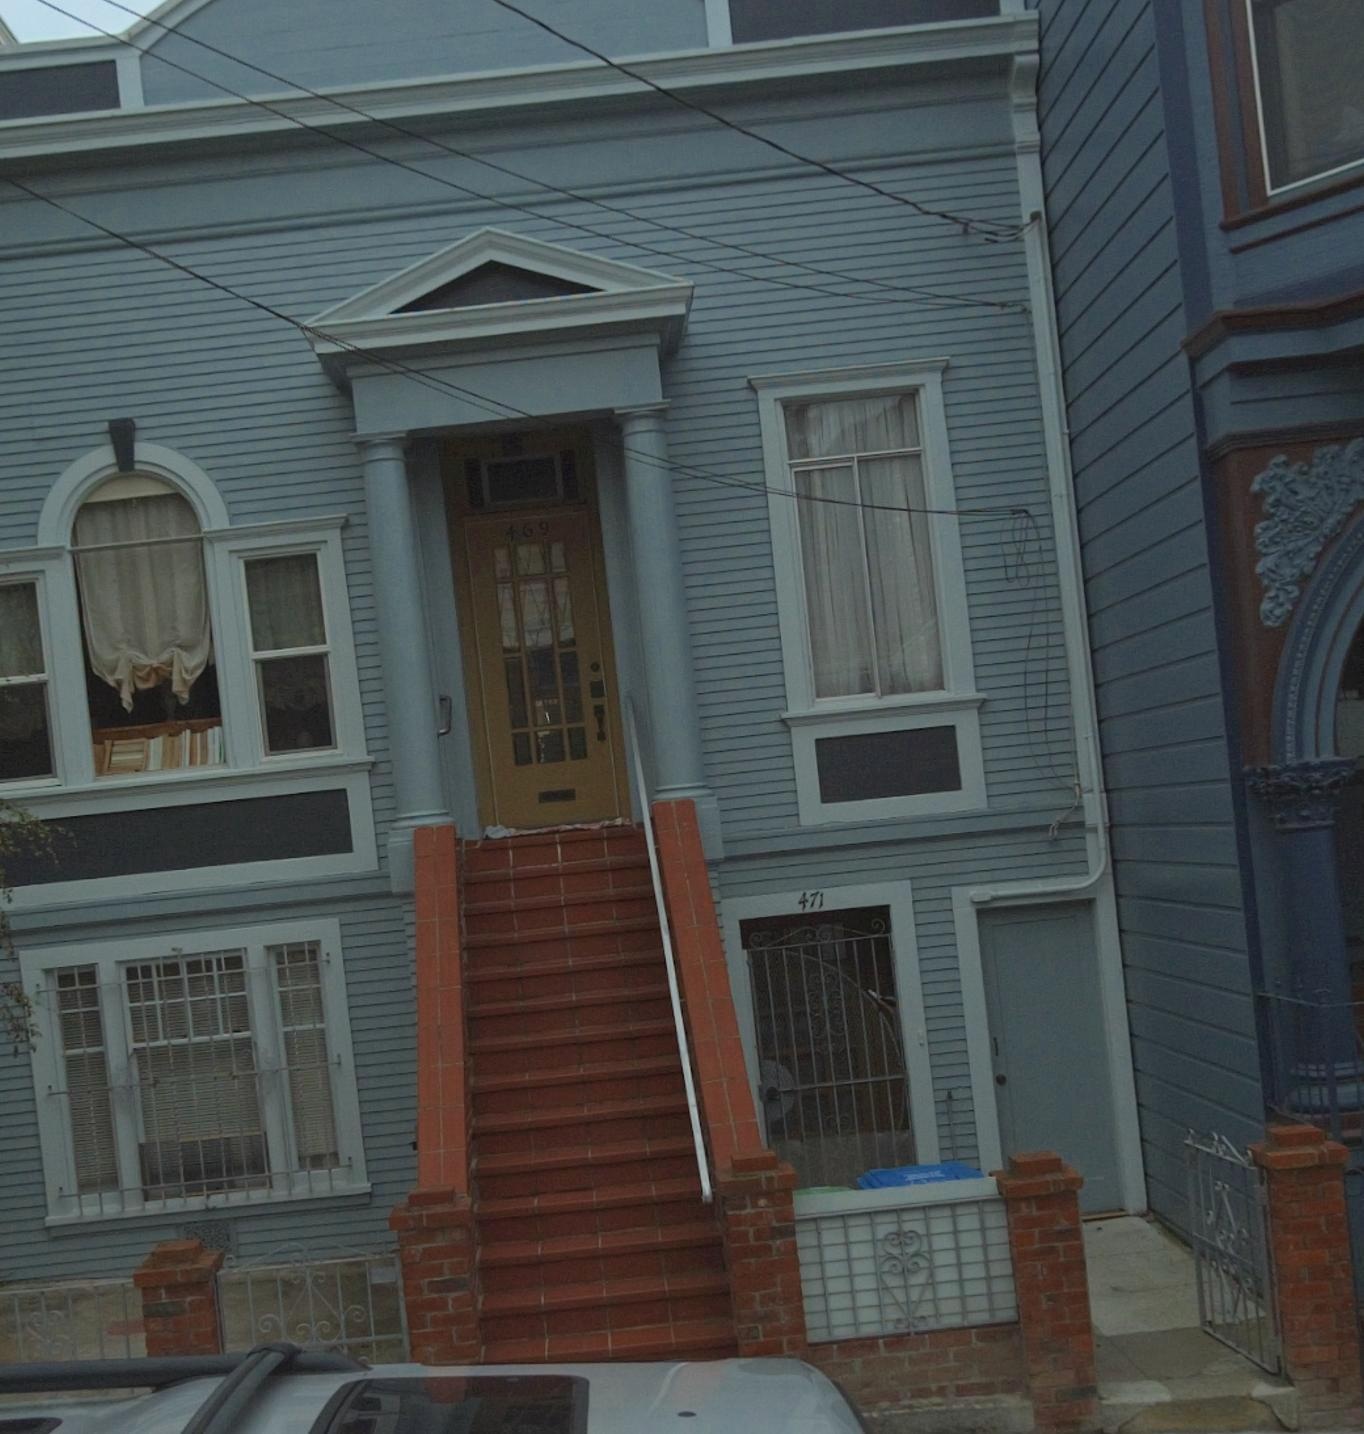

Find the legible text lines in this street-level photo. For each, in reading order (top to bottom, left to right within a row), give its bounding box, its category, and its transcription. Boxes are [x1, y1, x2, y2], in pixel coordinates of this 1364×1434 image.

[504, 519, 551, 543] StreetNumber: 469
[795, 889, 825, 912] StreetNumber: 471